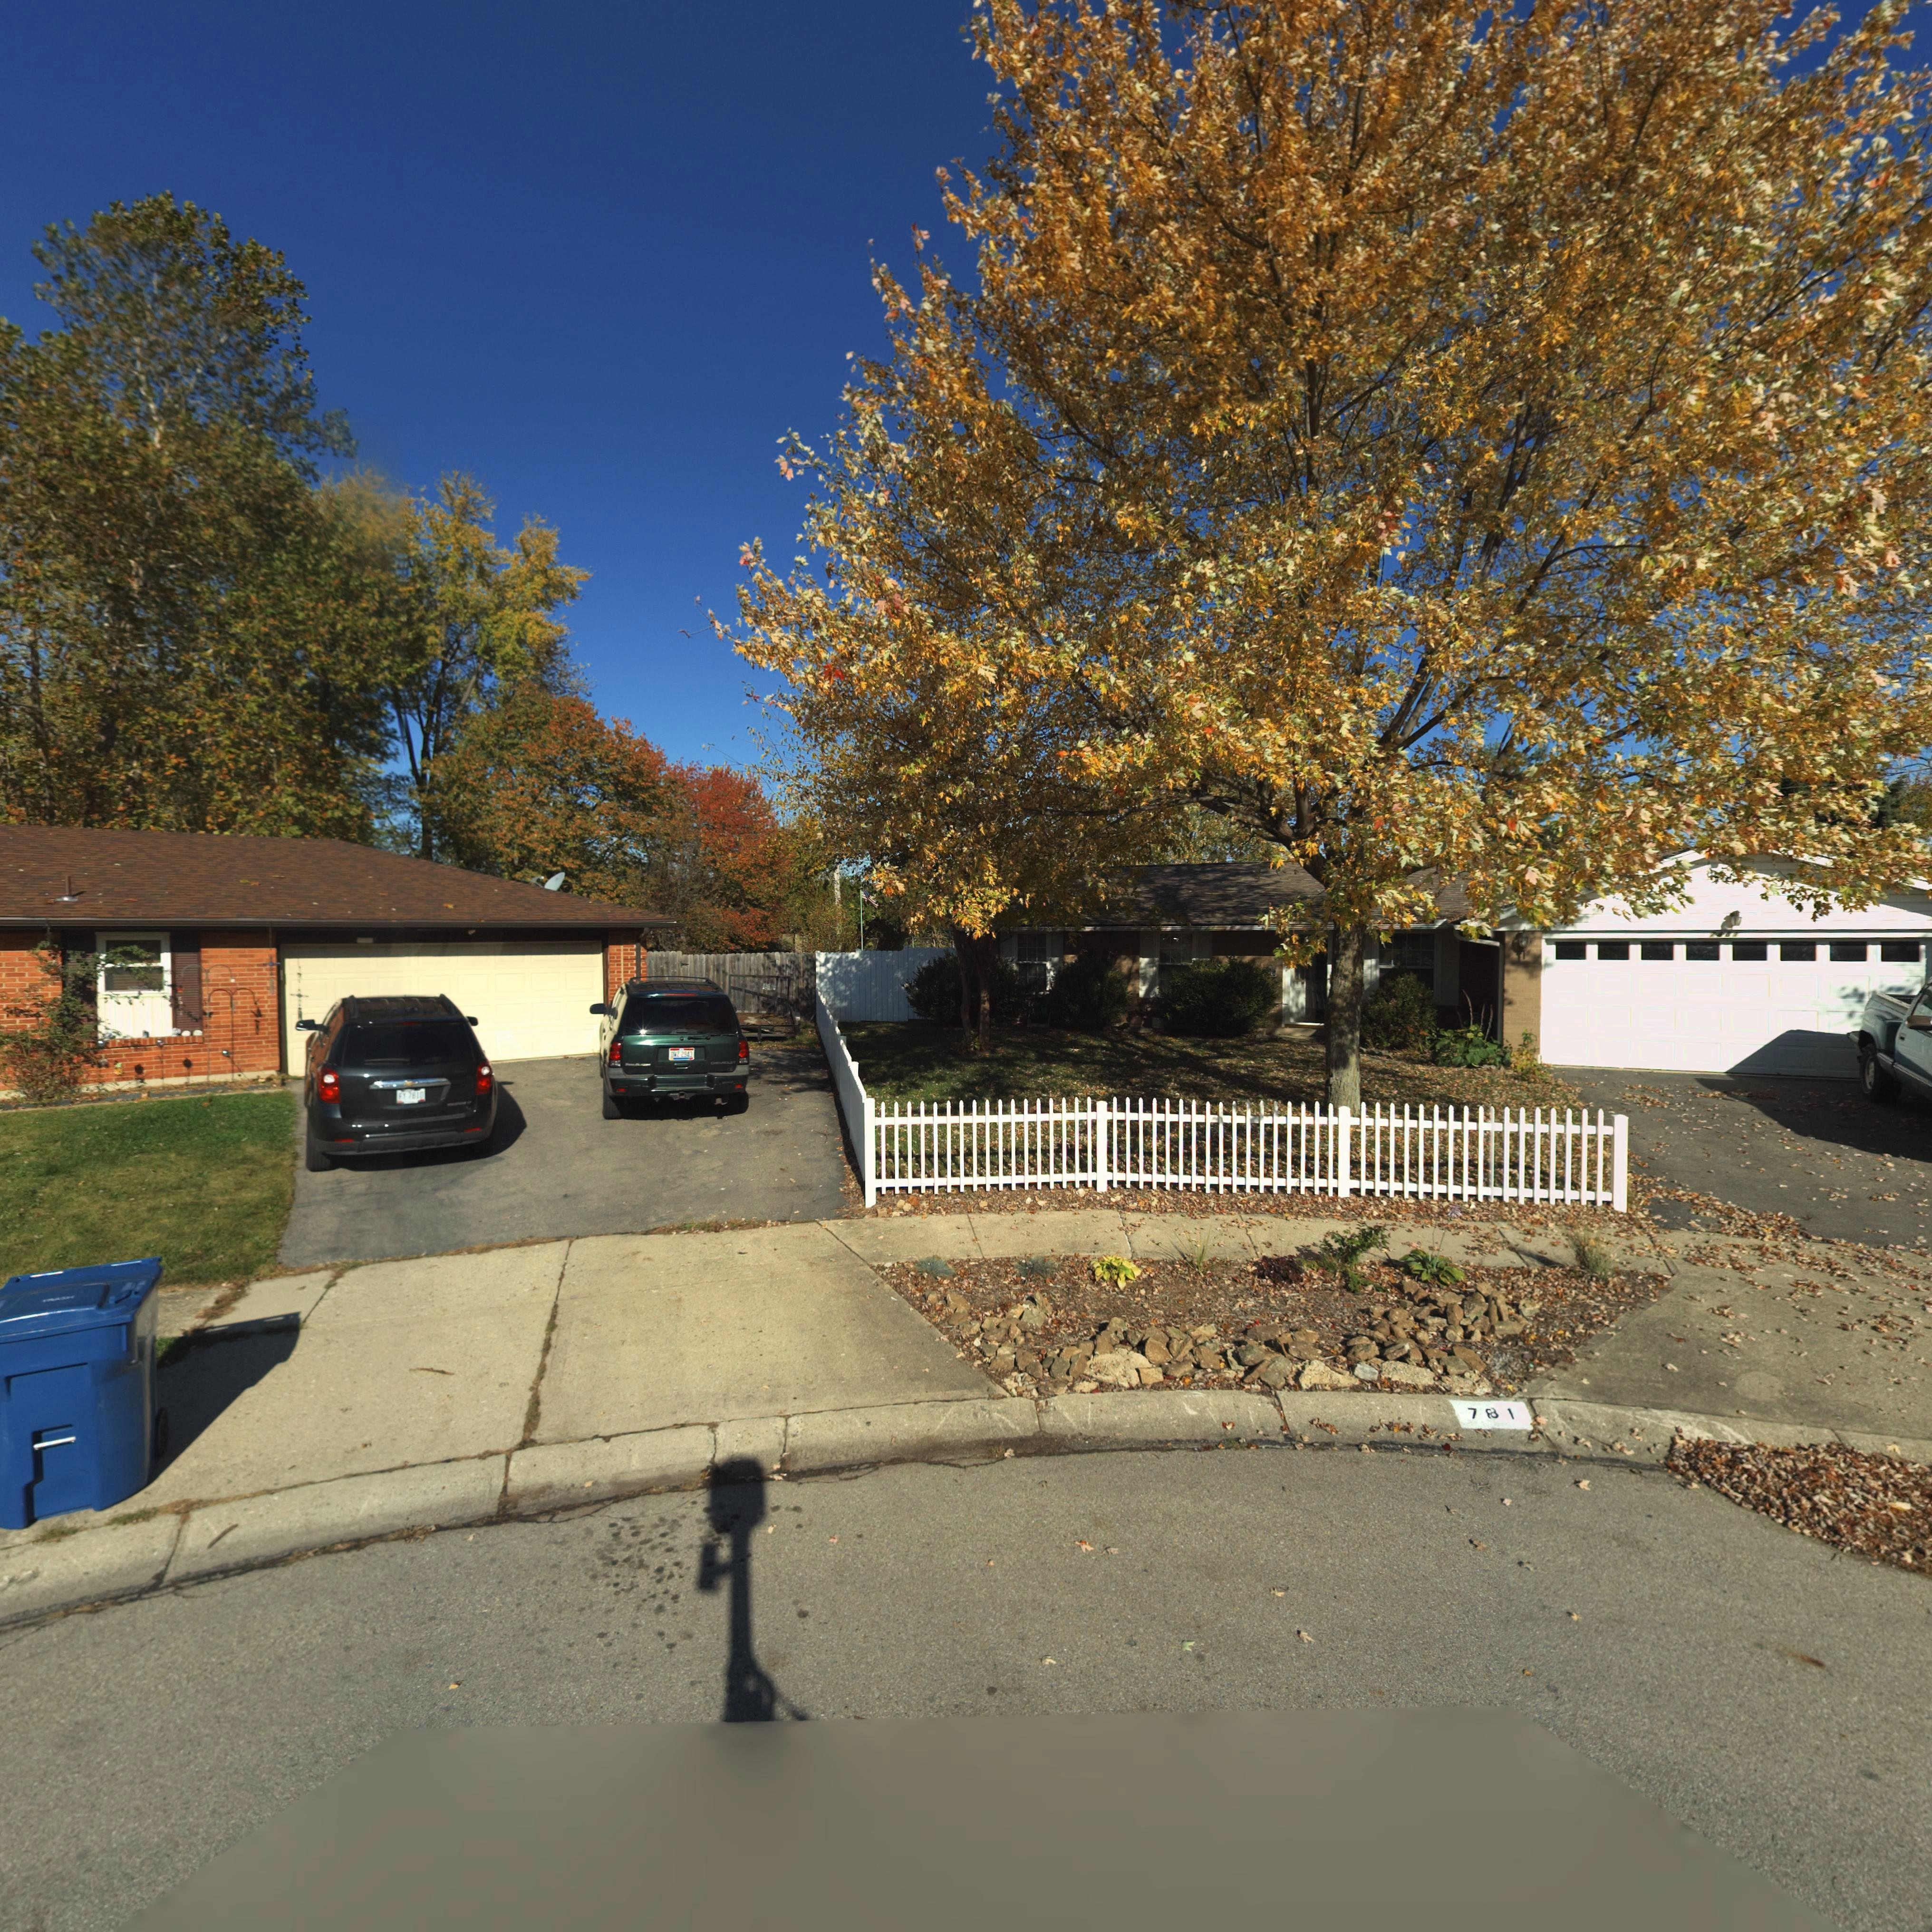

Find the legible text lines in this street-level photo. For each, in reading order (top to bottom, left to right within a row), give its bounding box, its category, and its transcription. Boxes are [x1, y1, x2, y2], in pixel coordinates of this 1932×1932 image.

[1467, 1406, 1517, 1421] StreetNumber: 7*1